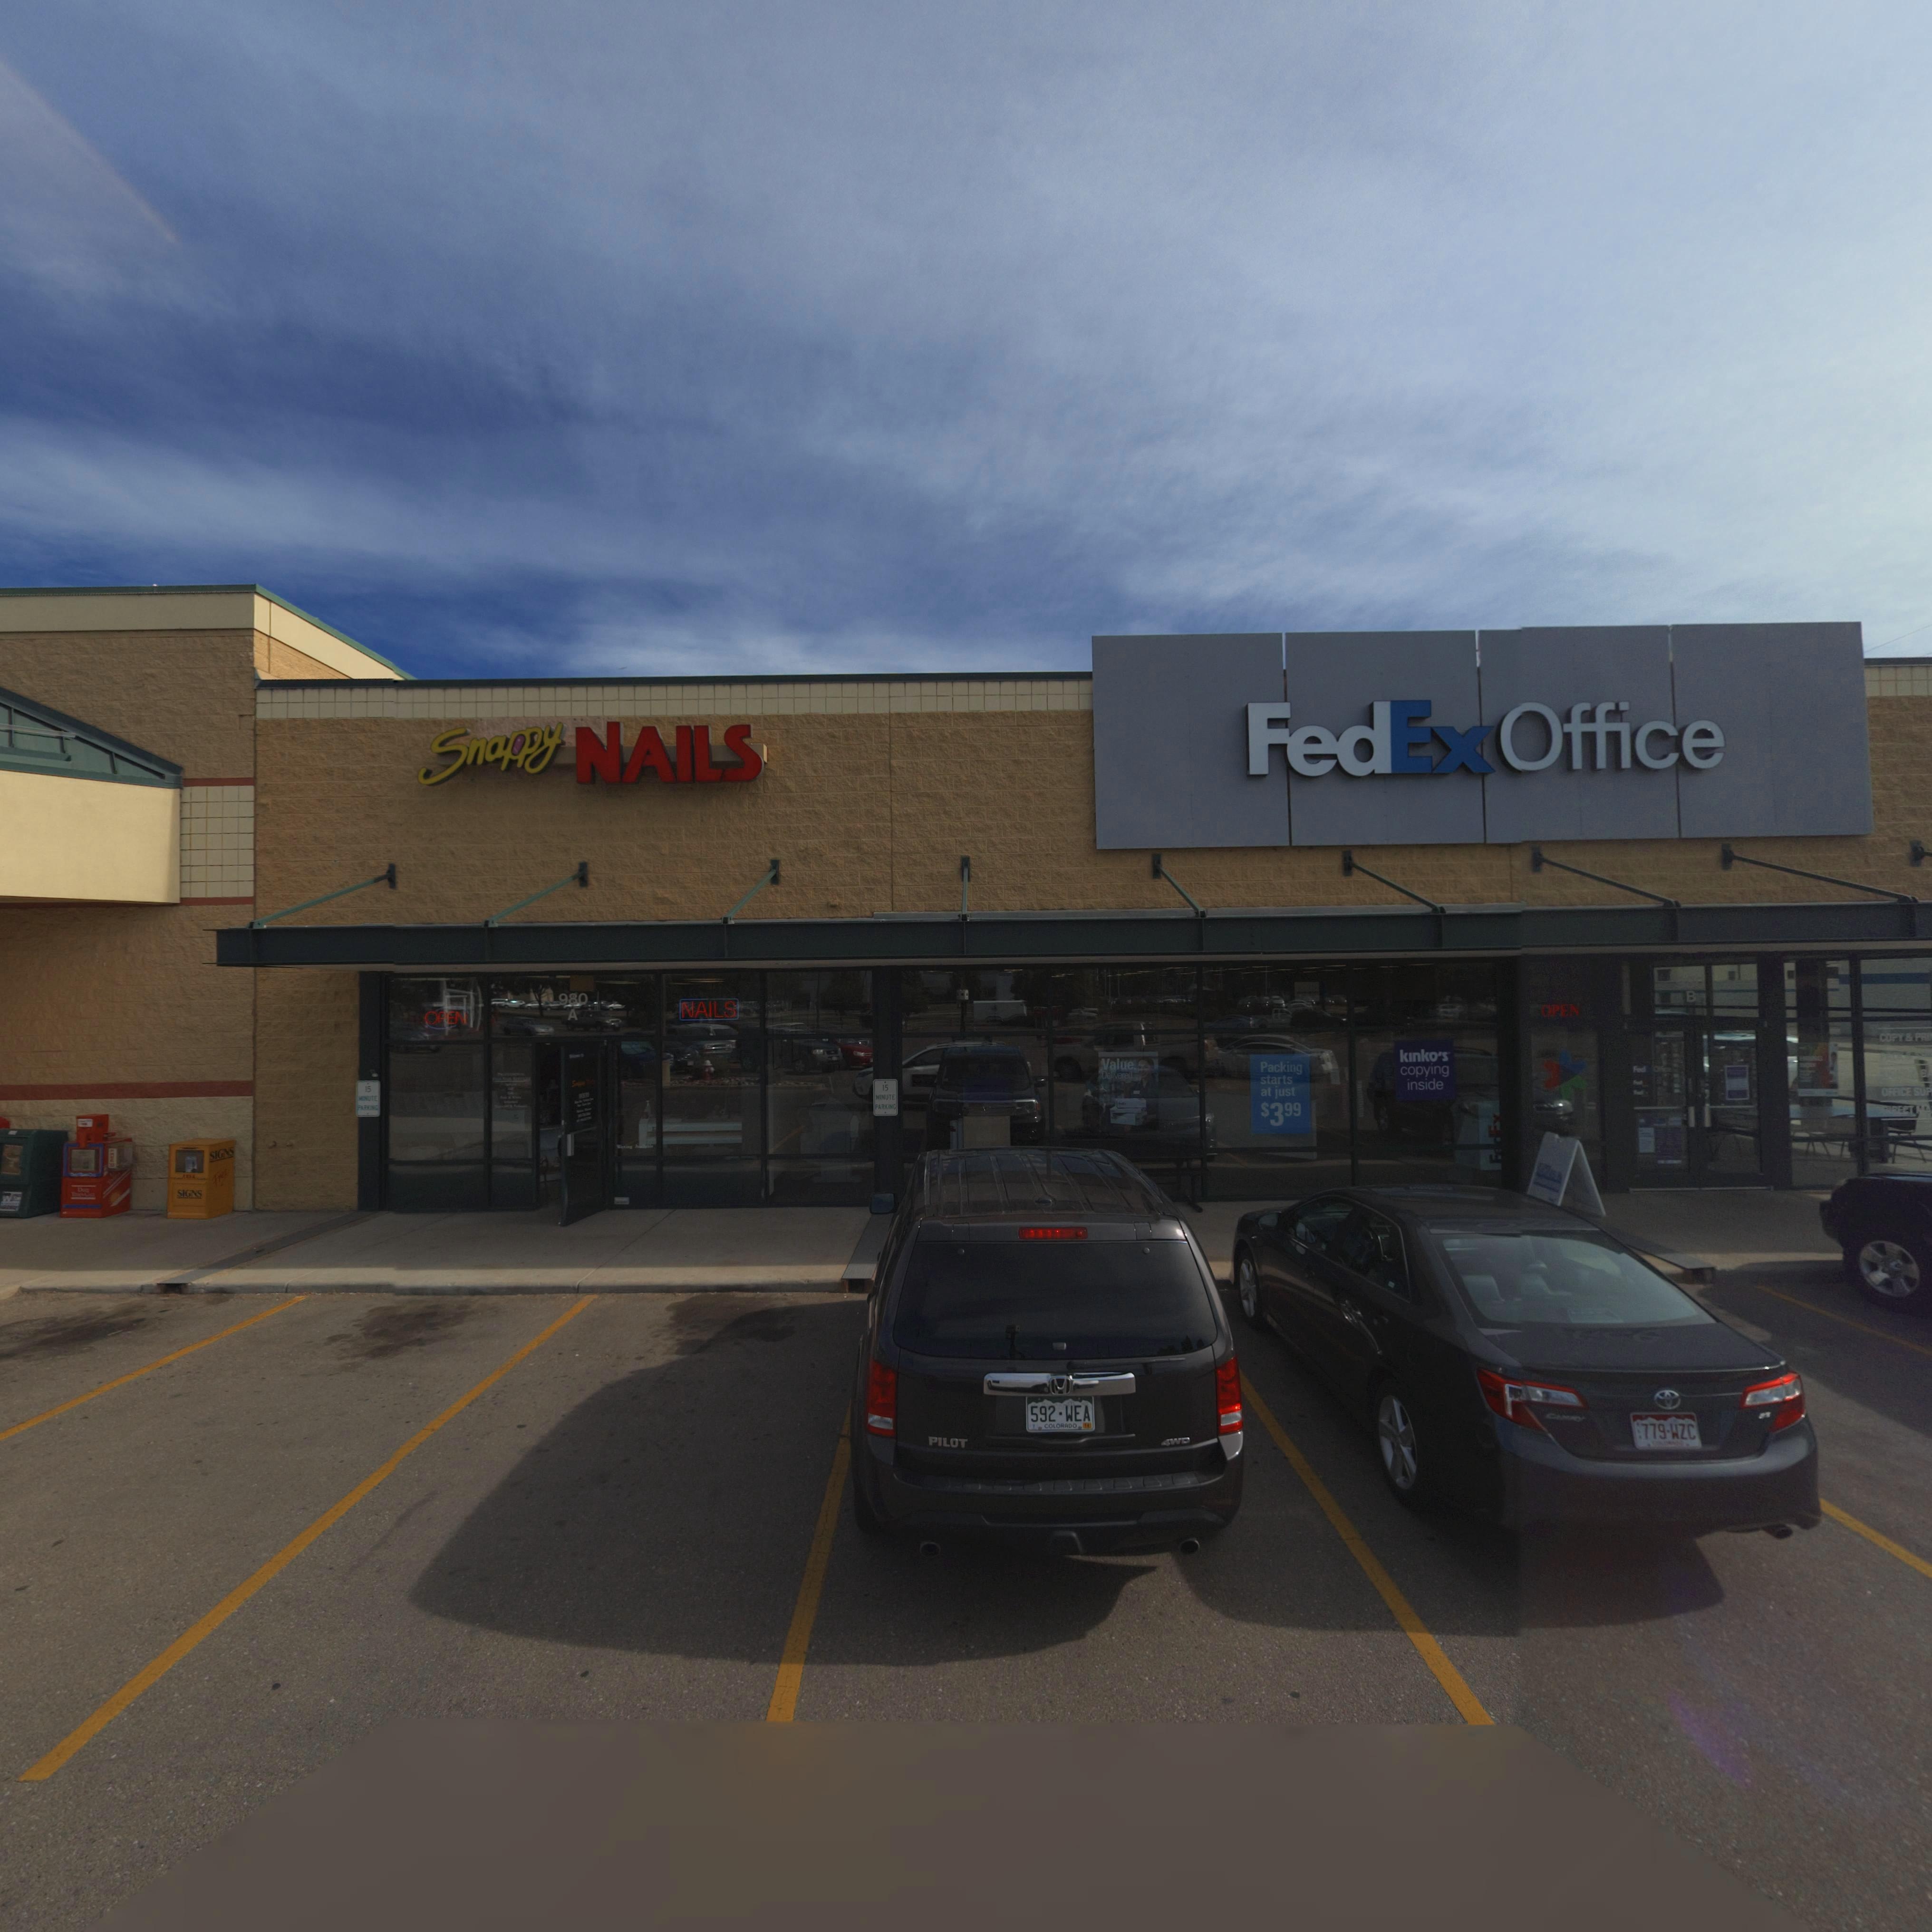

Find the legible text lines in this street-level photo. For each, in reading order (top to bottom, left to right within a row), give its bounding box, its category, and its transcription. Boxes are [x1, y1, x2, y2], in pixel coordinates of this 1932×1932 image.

[418, 720, 763, 784] BusinessName: Snappy NAILS
[1247, 701, 1726, 777] BusinessName: FedEx Office
[558, 993, 588, 1005] StreetNumber: 980
[571, 1080, 585, 1087] BusinessName: S*****
[1633, 1066, 1673, 1072] BusinessName: Fed** O*****
[1487, 1113, 1501, 1164] BusinessName: FedEx